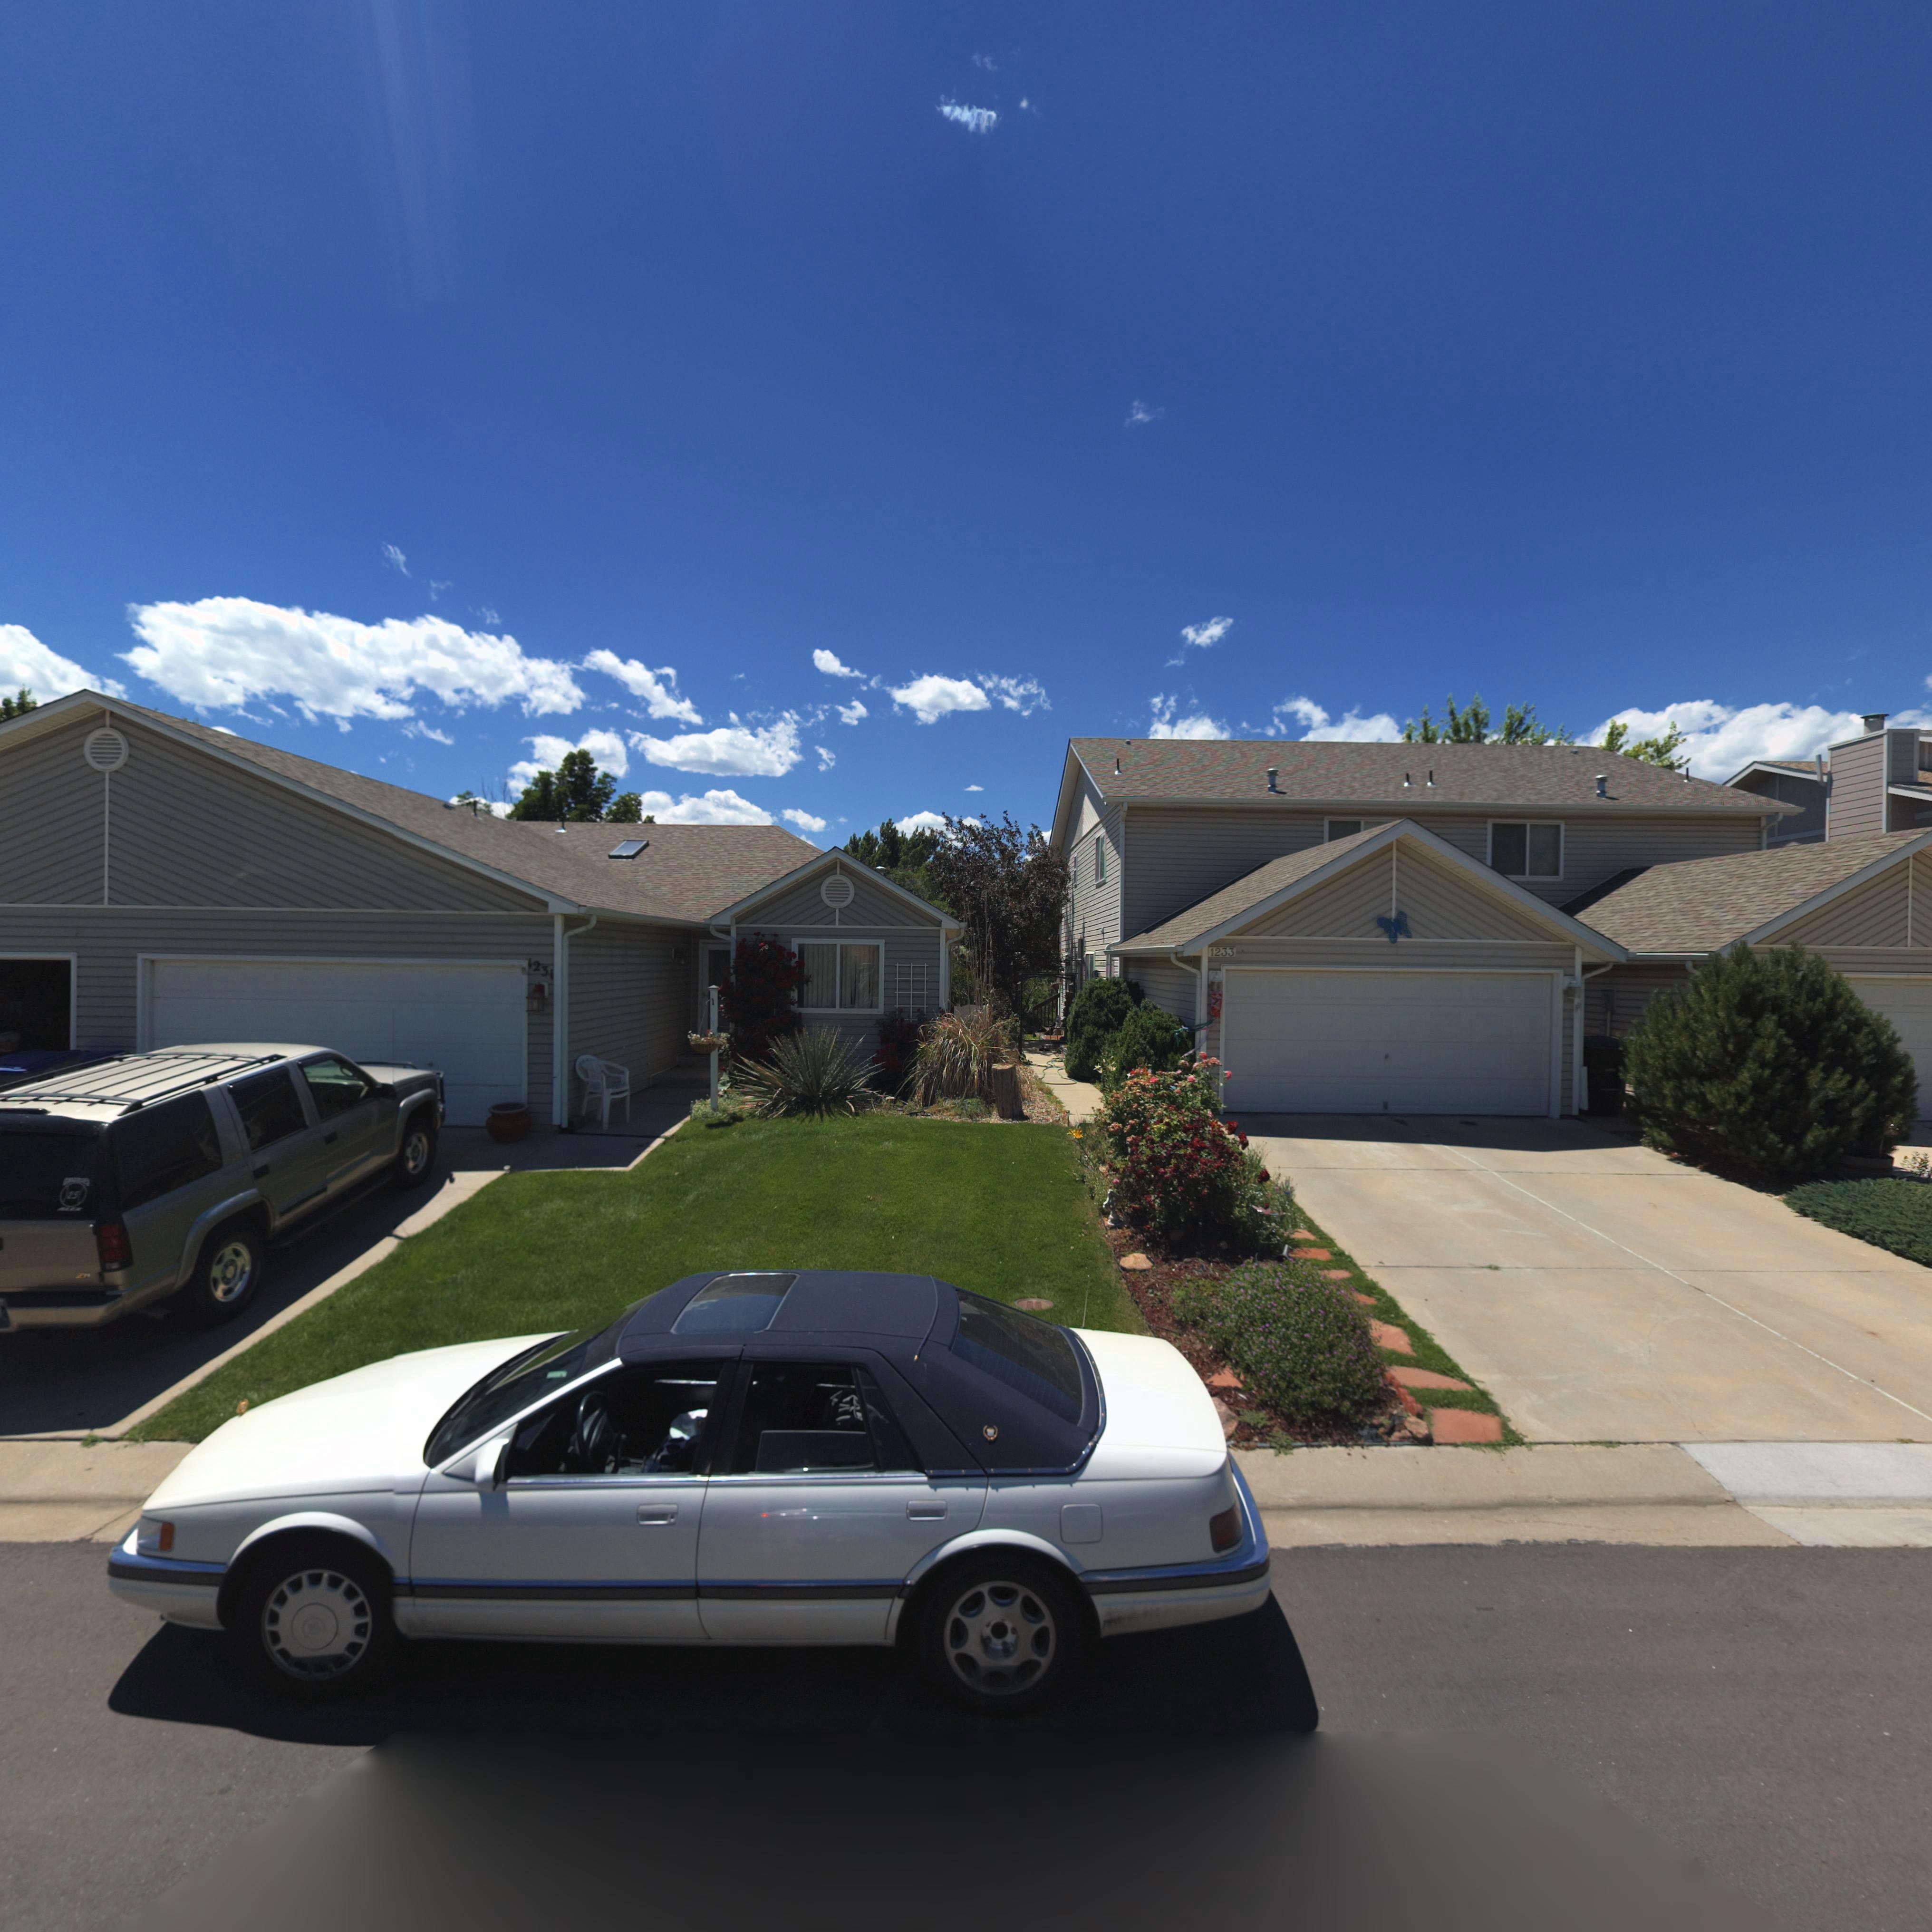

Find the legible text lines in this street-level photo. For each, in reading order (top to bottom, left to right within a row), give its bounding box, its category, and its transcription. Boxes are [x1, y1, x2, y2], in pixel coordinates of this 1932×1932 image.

[1210, 947, 1234, 957] StreetNumber: 1233
[527, 956, 554, 980] StreetNumber: 1231